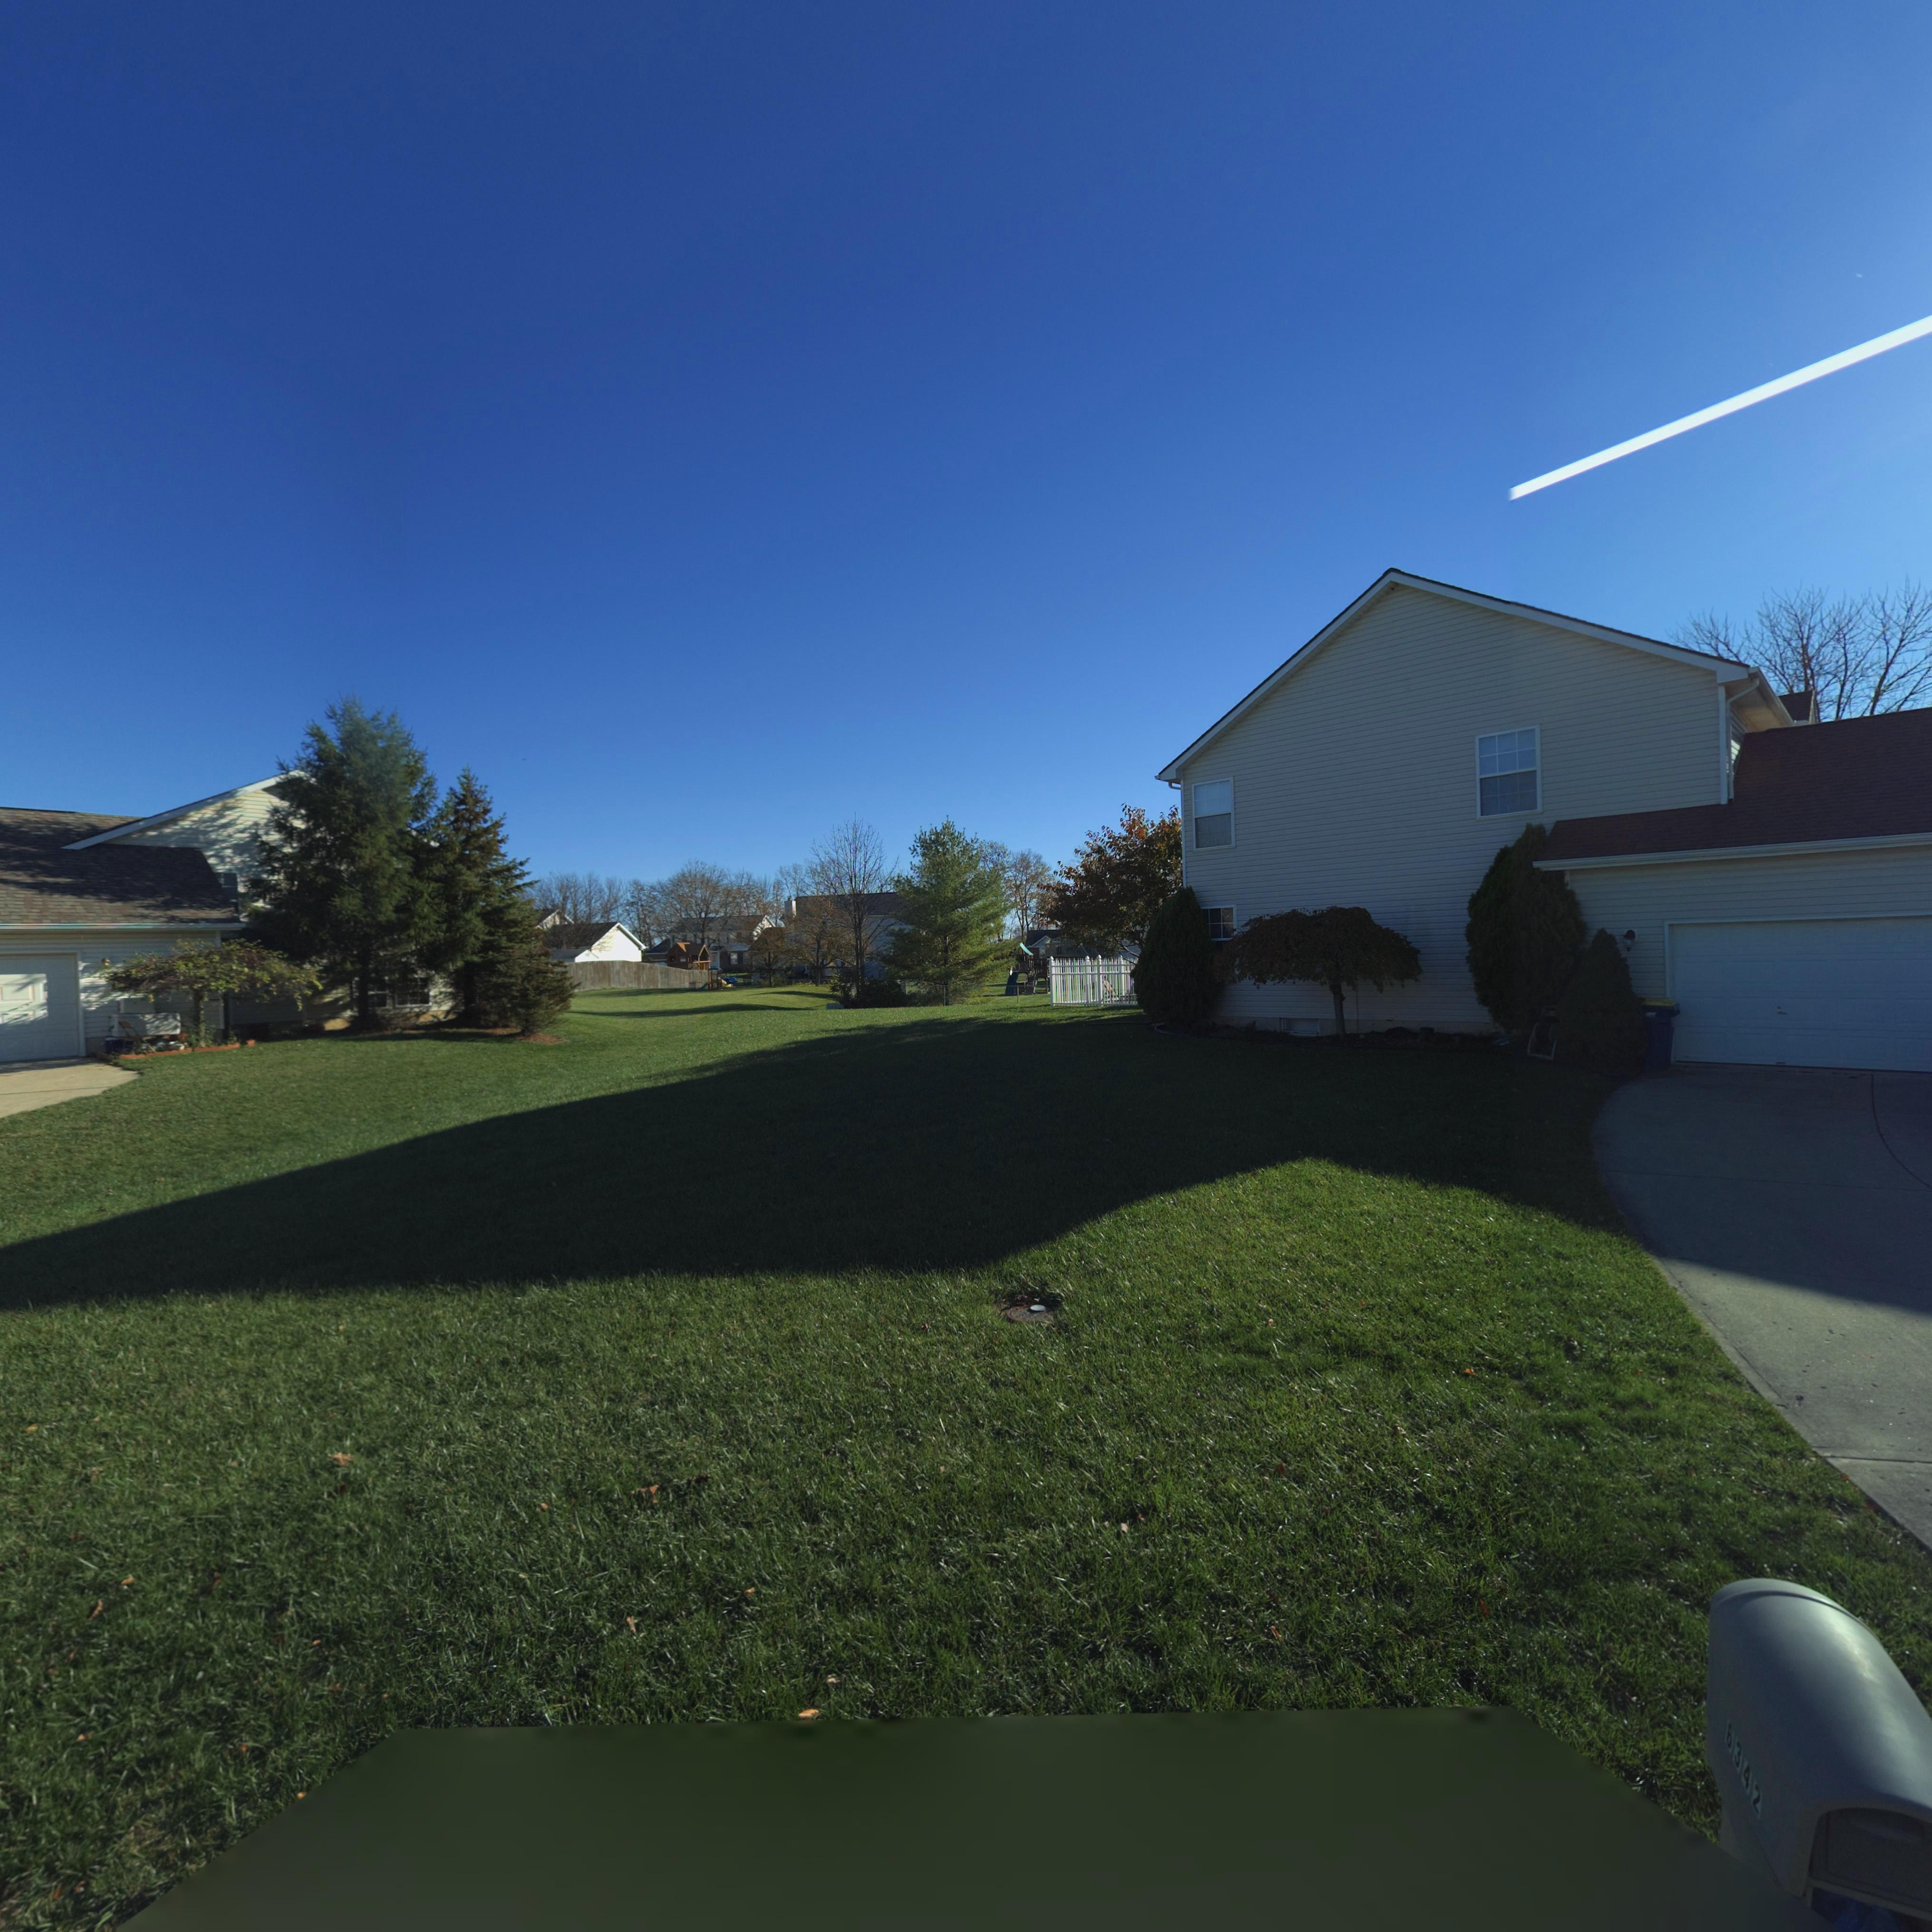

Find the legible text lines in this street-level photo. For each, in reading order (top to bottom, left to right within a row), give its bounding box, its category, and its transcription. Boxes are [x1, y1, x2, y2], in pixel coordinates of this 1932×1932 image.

[1725, 1719, 1763, 1817] StreetNumber: 6342